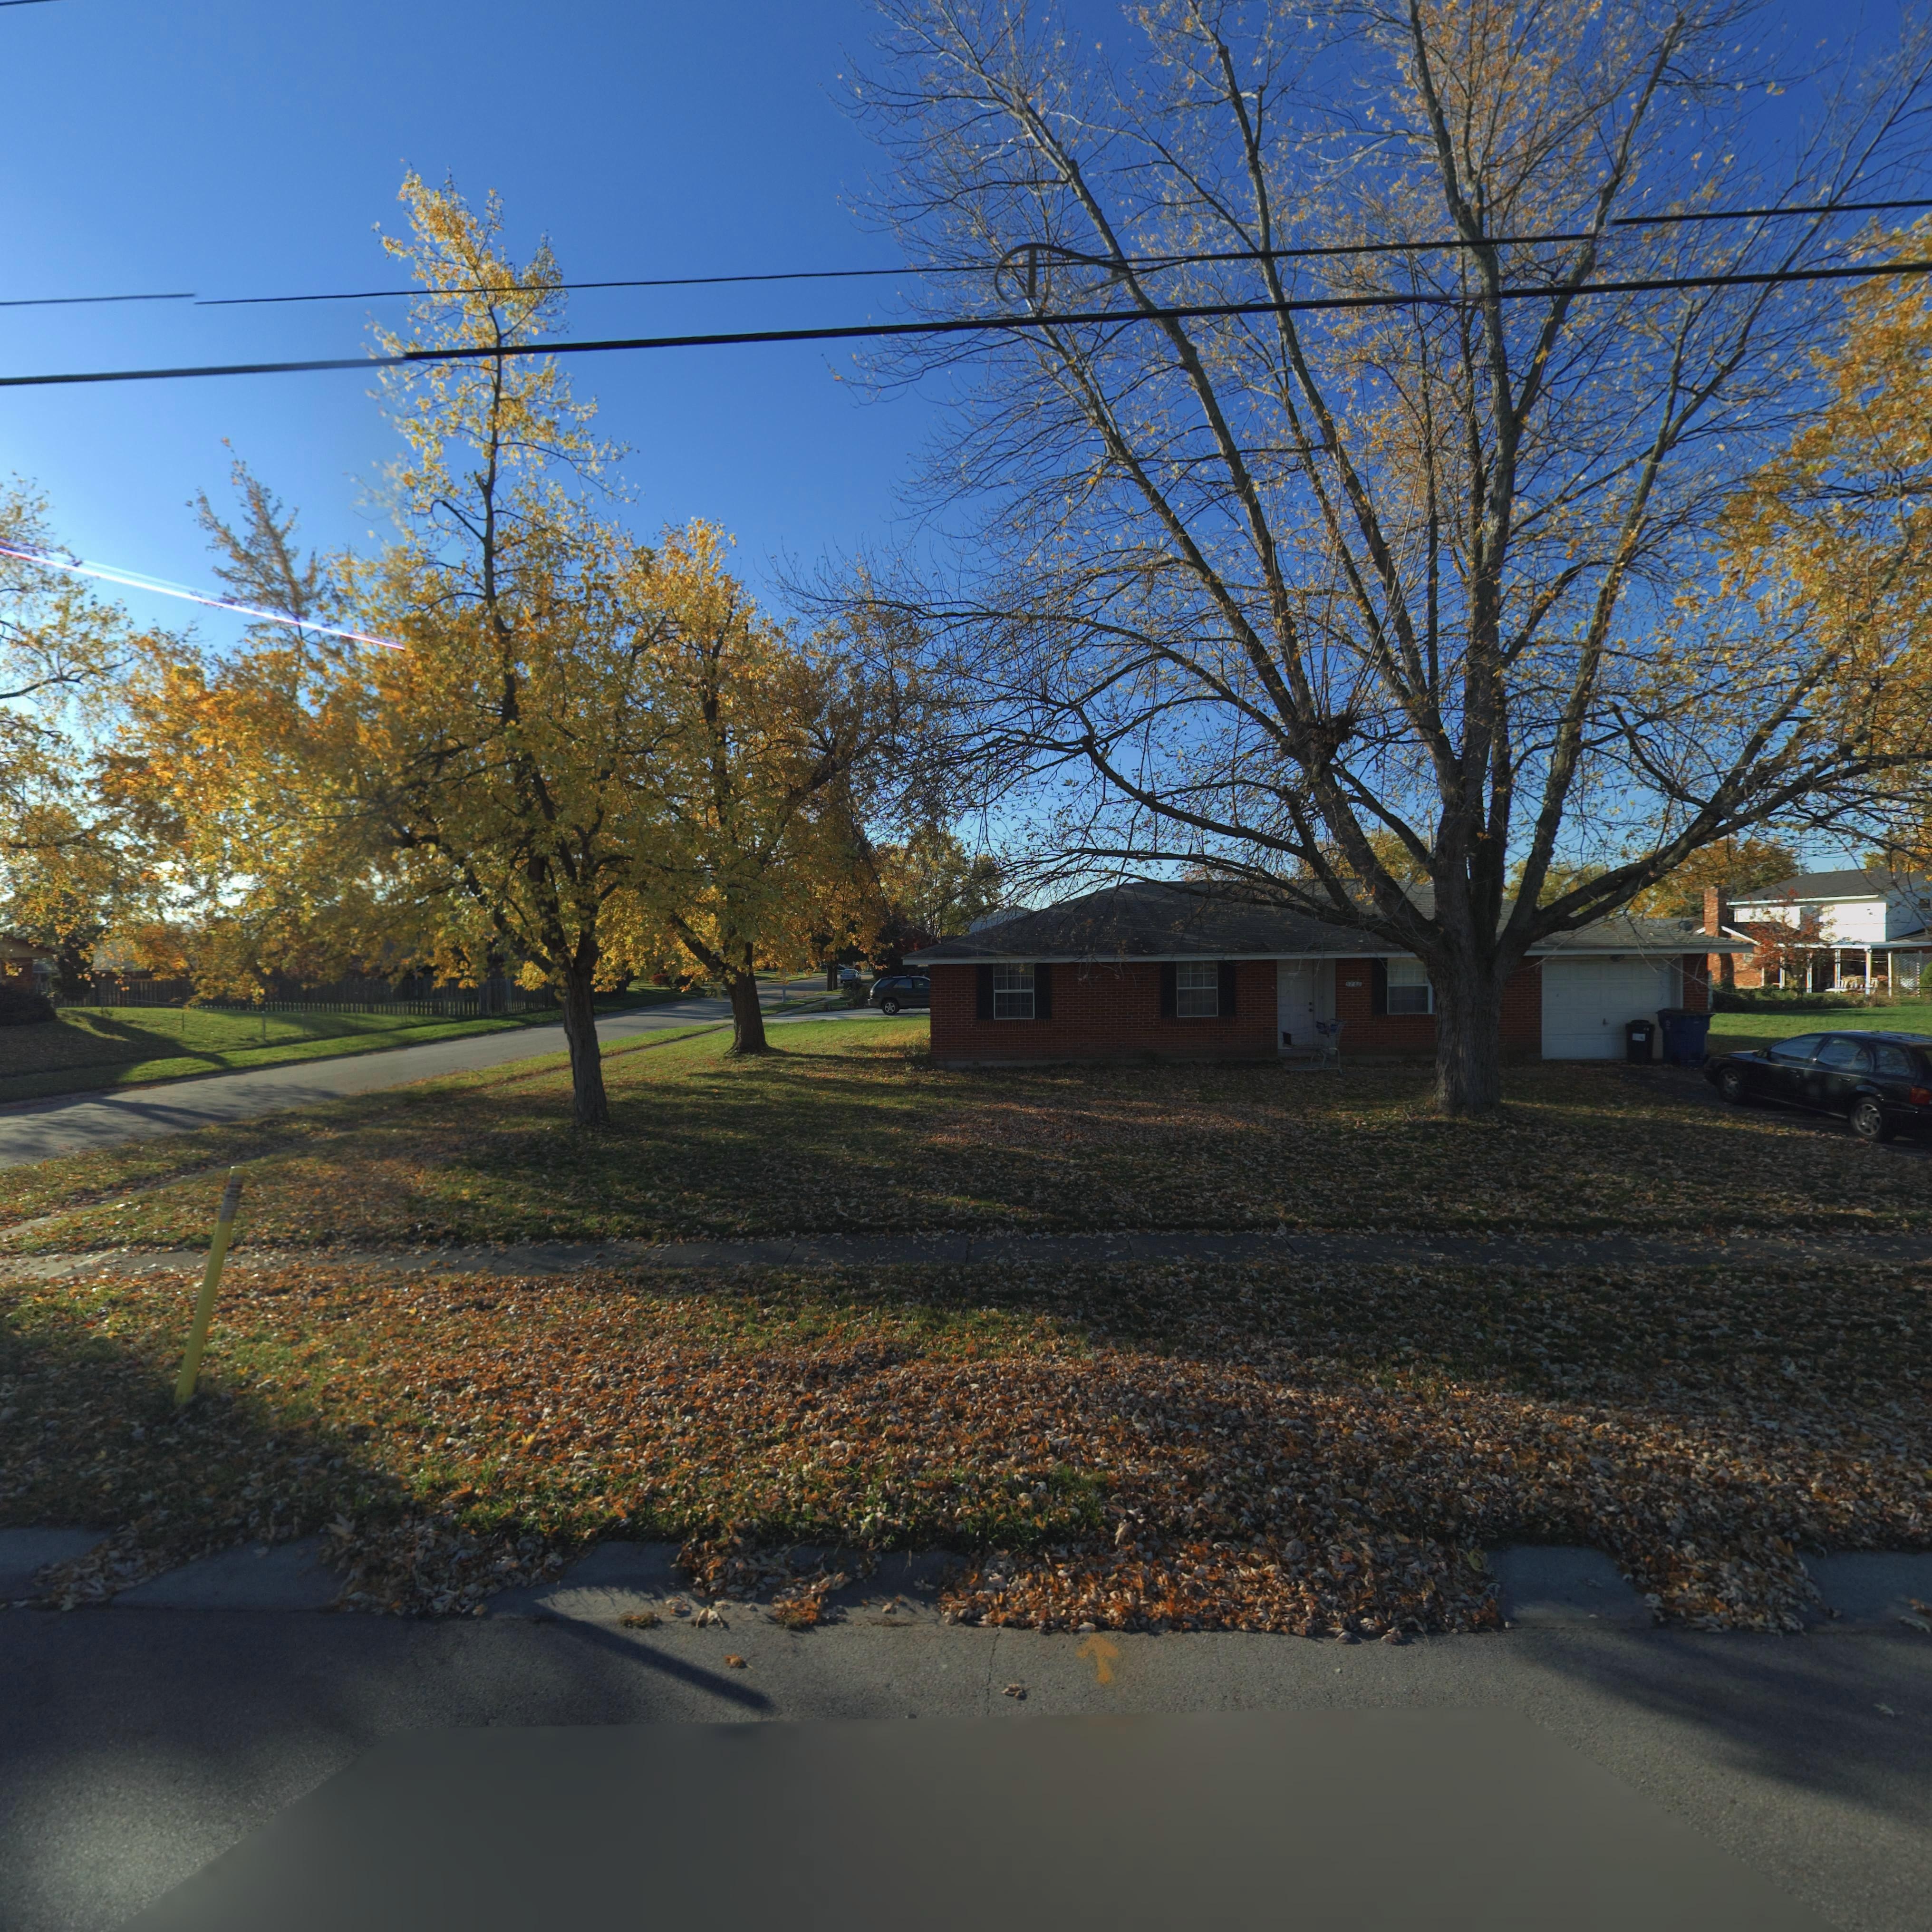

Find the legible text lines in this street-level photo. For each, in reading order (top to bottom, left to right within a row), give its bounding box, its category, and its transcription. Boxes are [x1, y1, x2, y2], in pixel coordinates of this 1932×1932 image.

[1345, 981, 1362, 988] StreetNumber: *7*0